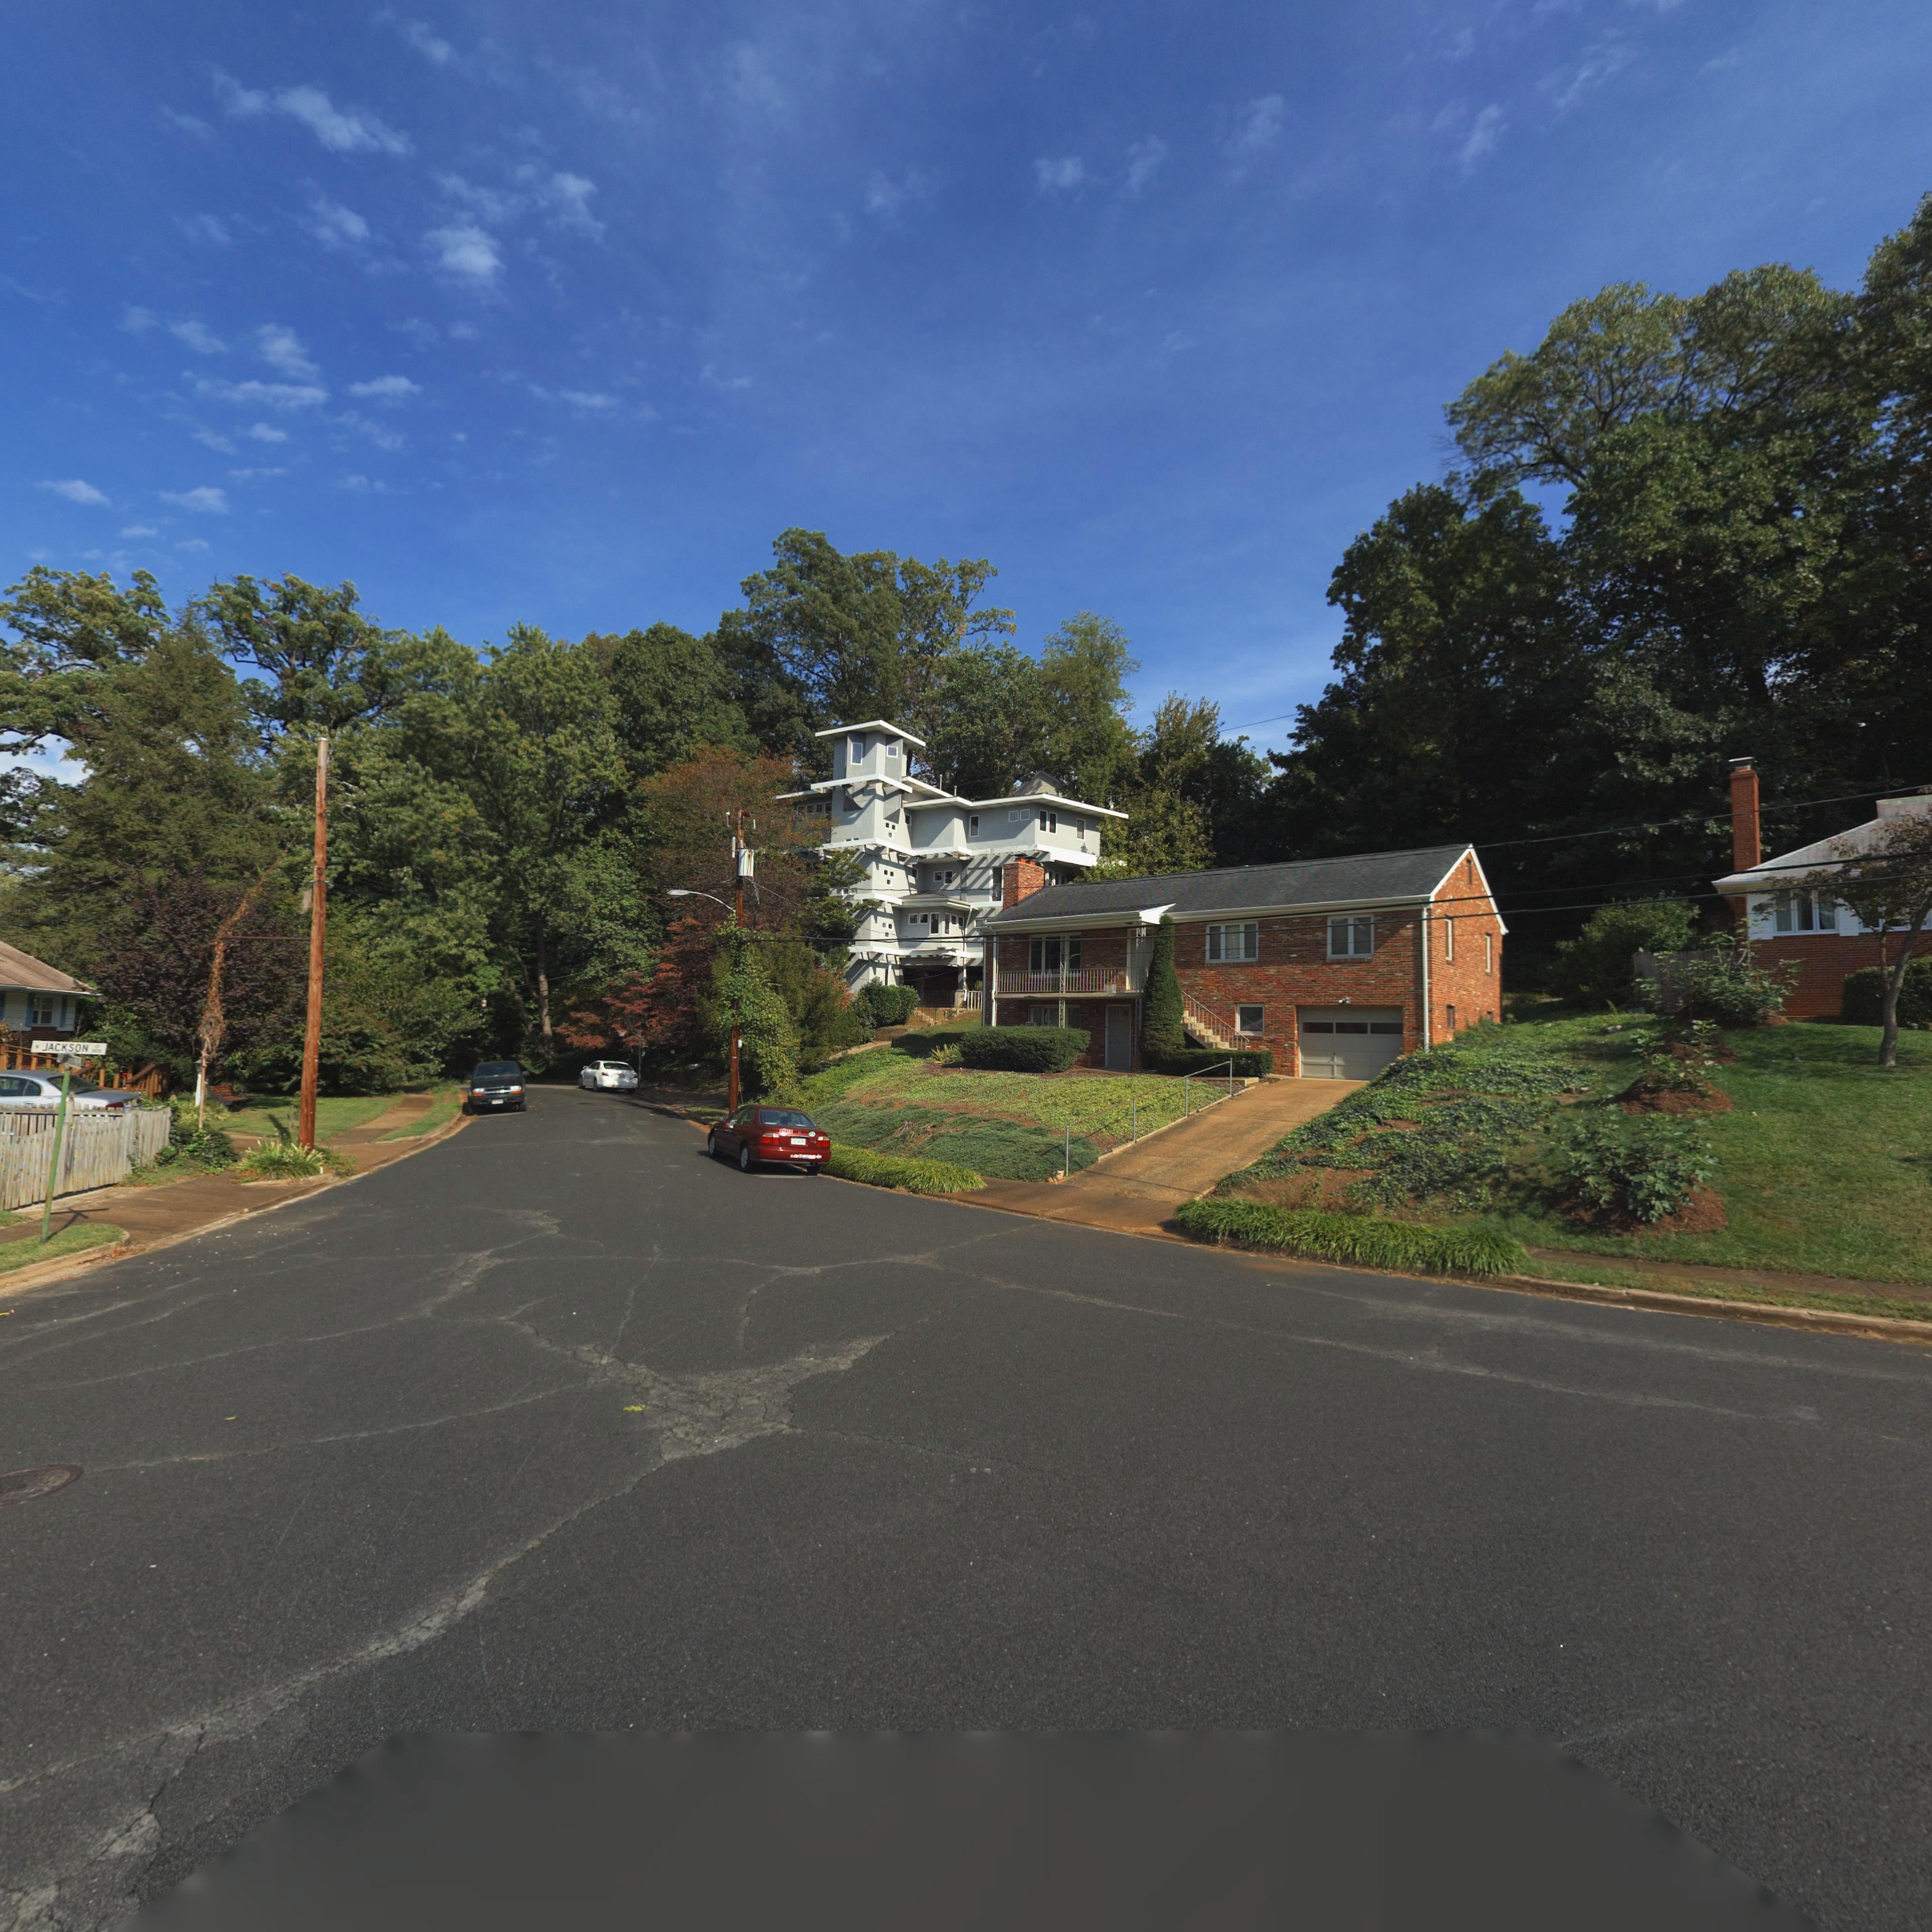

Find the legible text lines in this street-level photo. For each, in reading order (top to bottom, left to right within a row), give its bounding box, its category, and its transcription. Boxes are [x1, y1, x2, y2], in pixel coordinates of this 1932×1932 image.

[34, 1043, 101, 1053] StreetName: S JACKSON ST